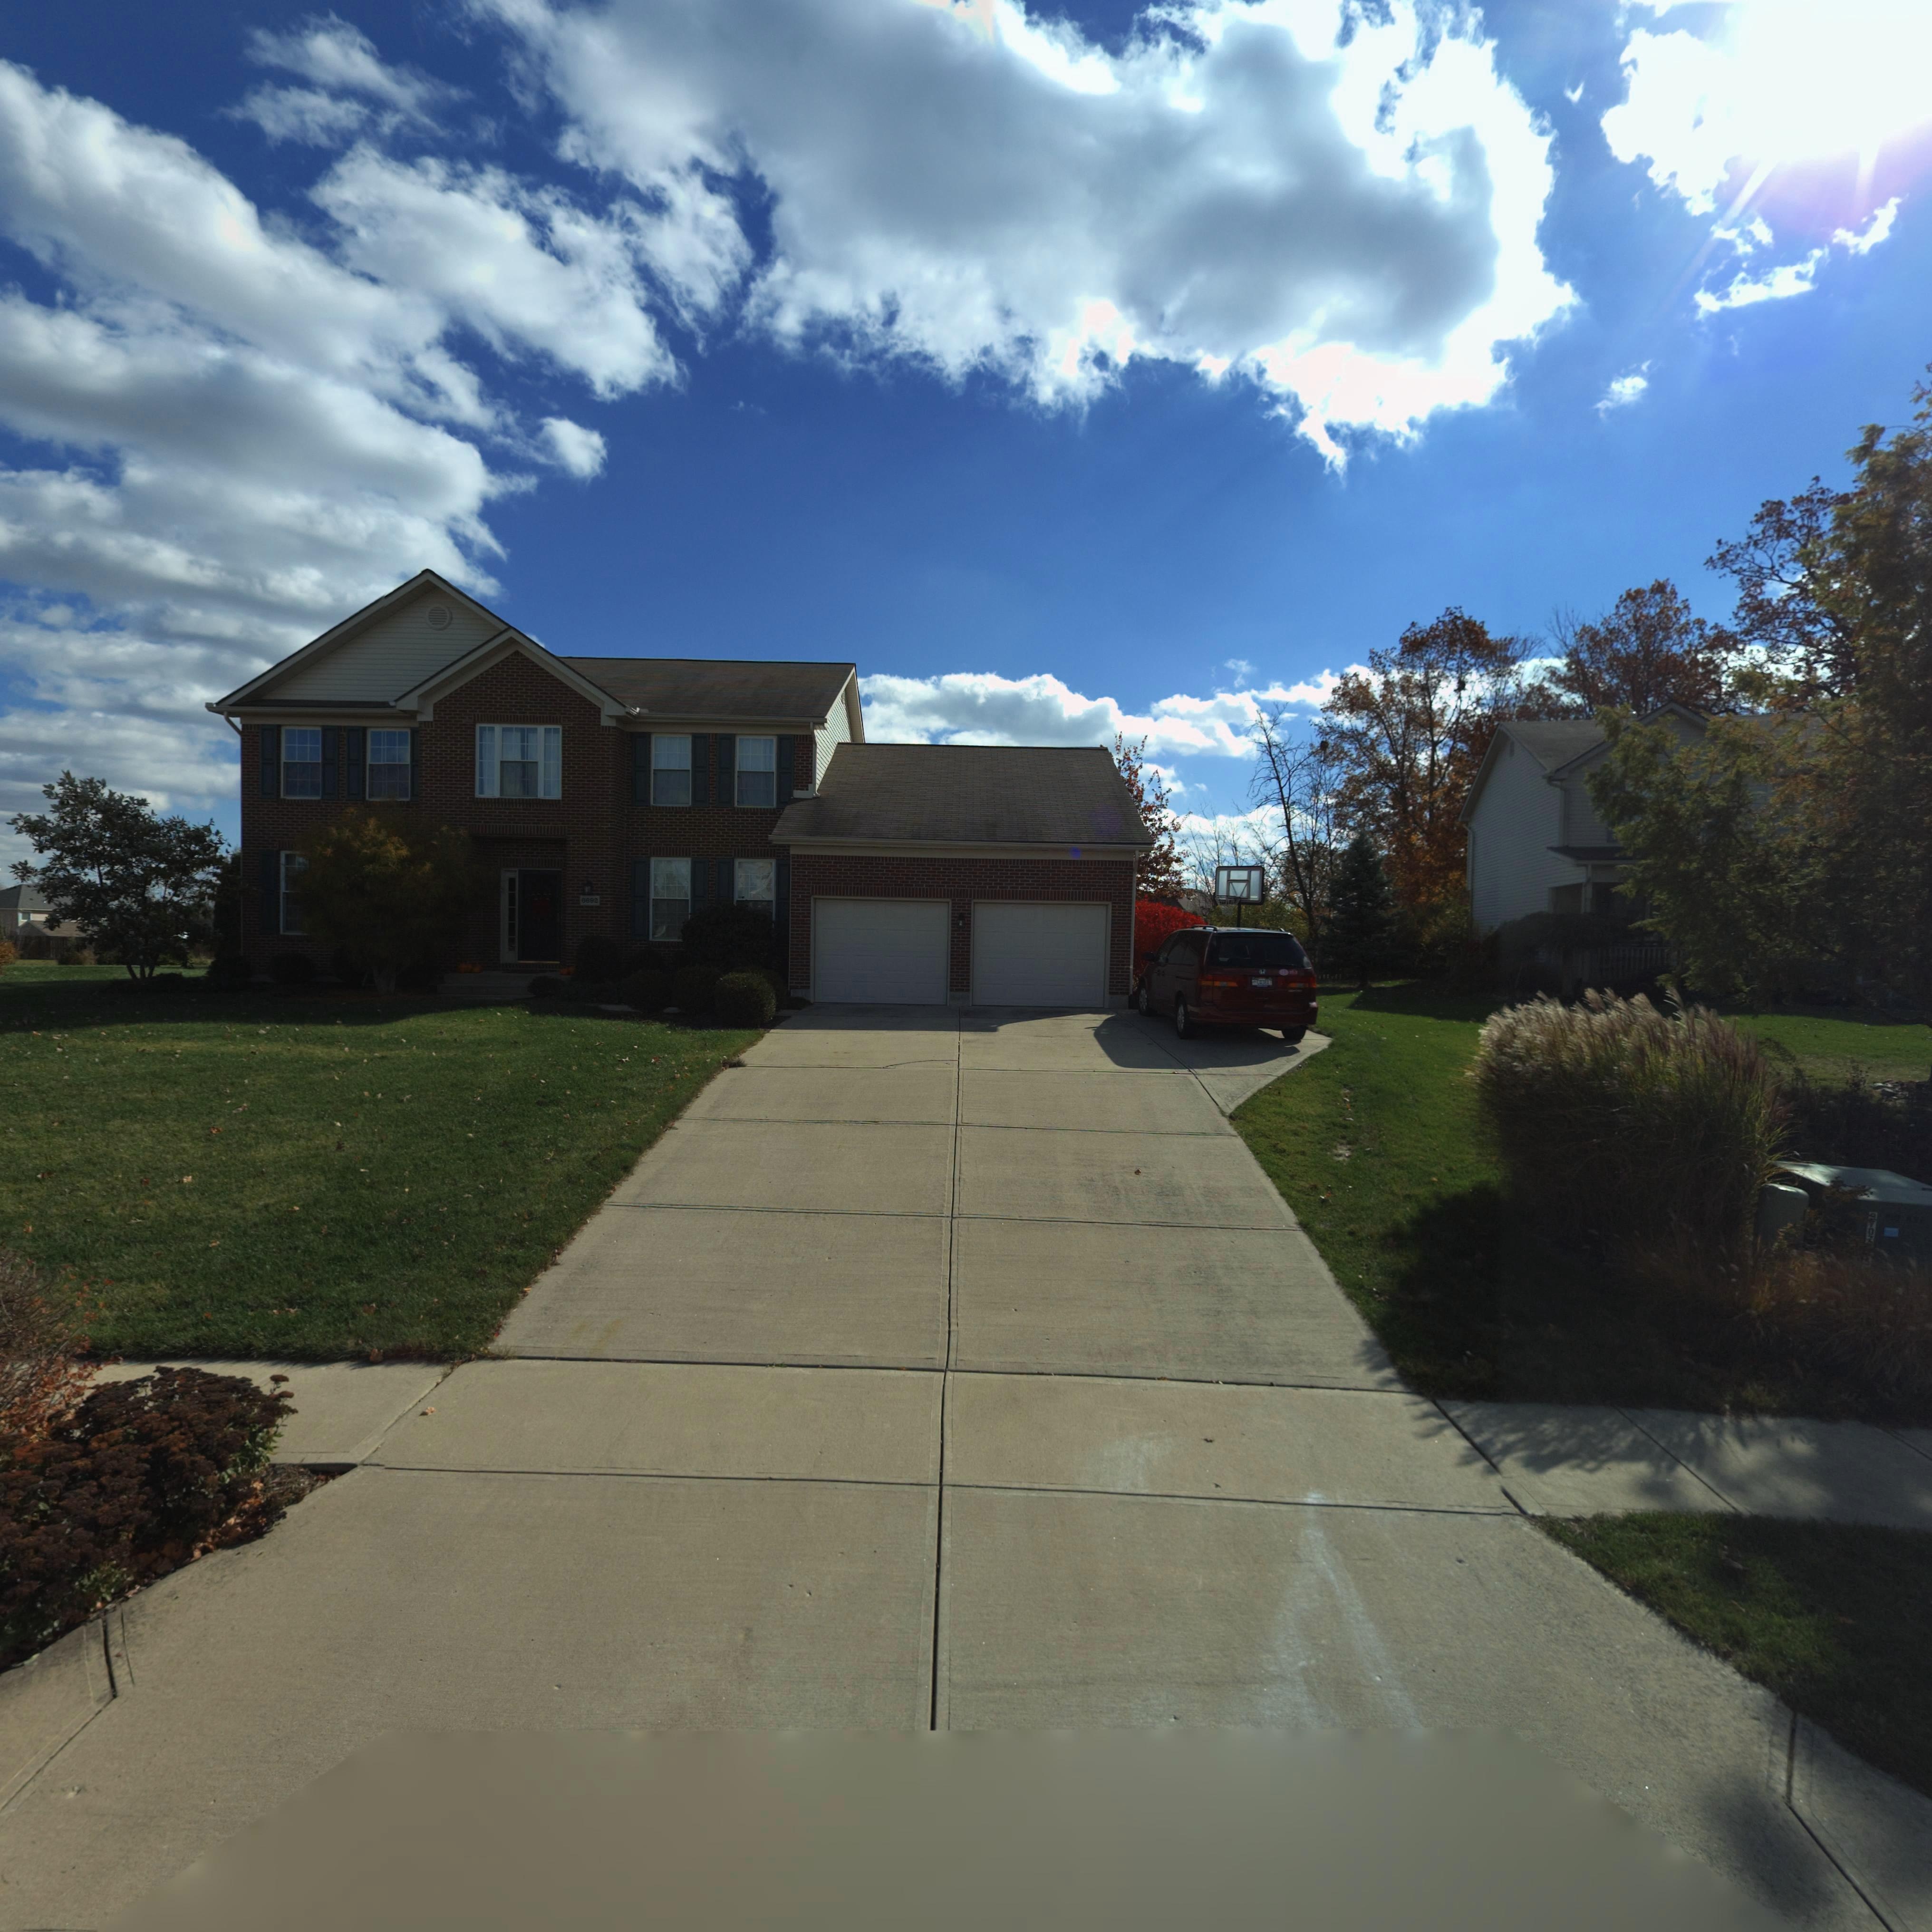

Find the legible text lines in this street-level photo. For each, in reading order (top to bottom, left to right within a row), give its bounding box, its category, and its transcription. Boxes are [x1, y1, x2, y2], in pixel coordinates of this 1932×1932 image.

[581, 897, 599, 904] StreetNumber: 6692